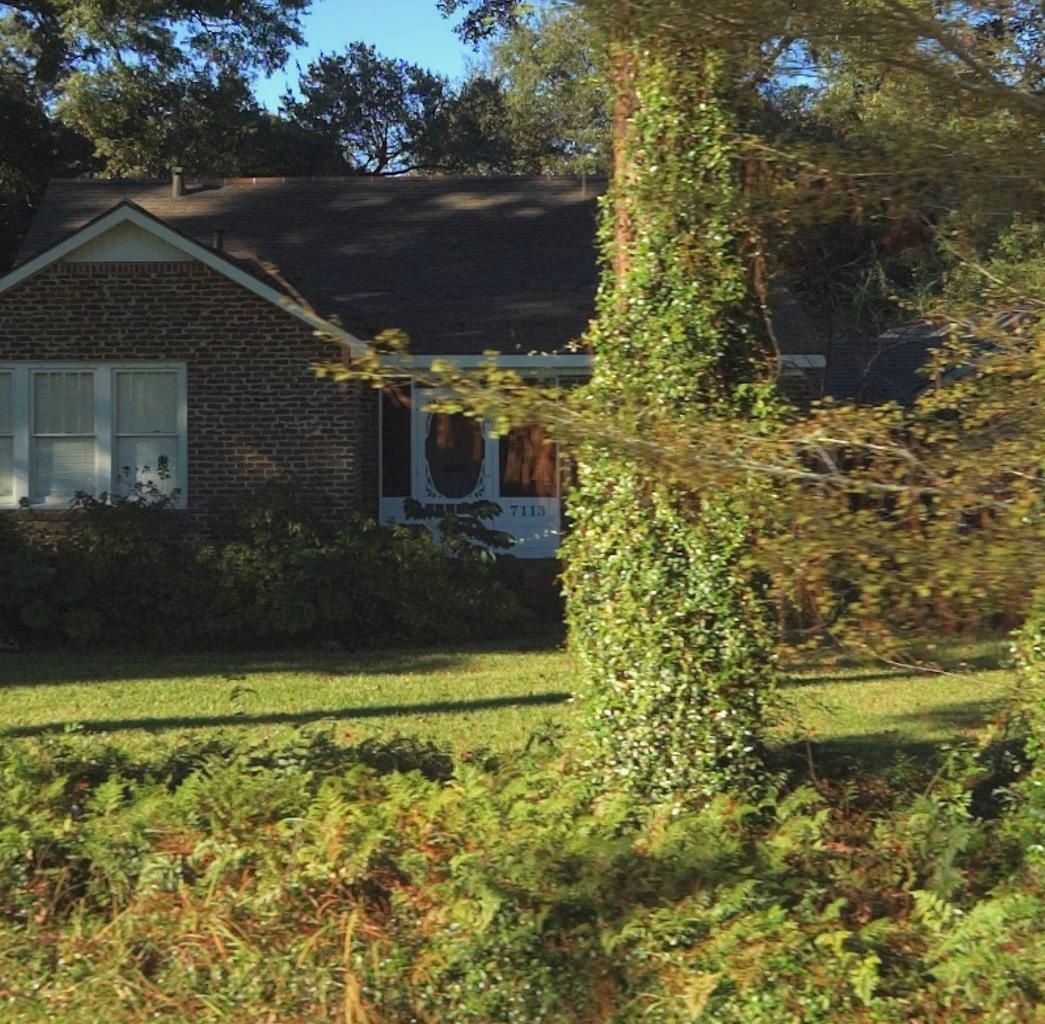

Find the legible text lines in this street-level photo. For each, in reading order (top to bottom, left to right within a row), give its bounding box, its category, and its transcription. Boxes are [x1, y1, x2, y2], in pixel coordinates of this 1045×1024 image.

[509, 504, 546, 517] StreetNumber: 7113